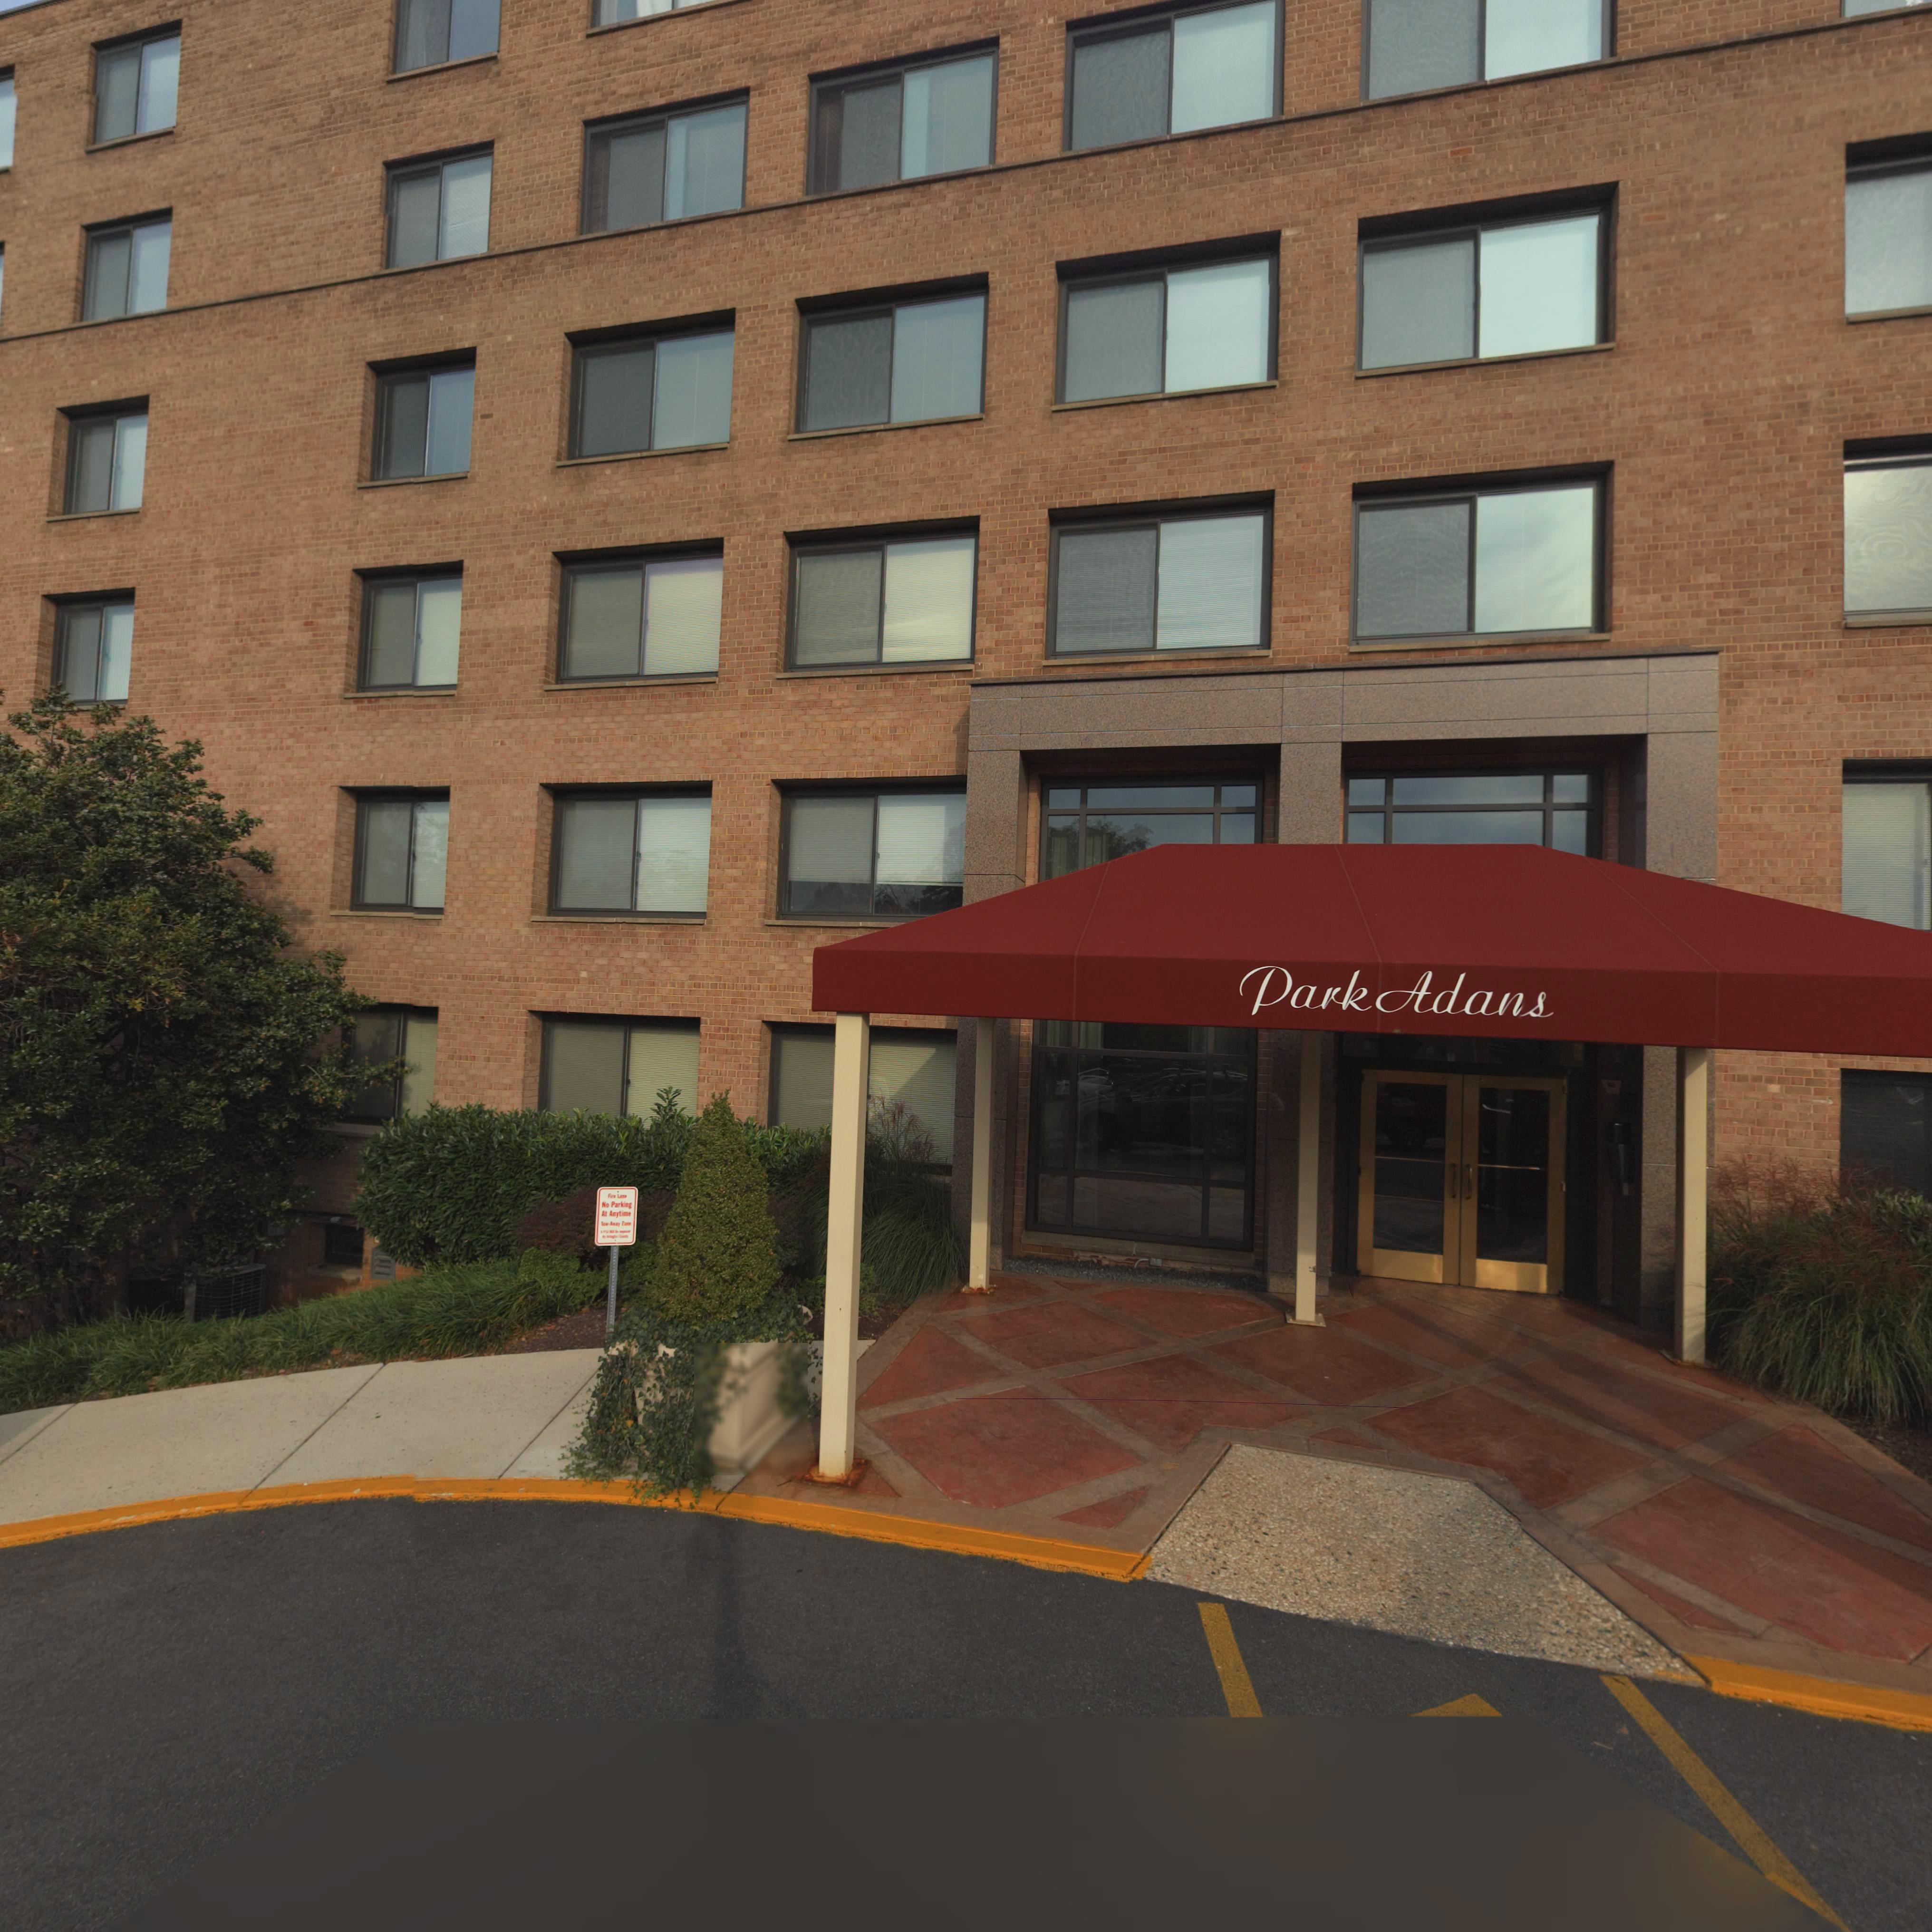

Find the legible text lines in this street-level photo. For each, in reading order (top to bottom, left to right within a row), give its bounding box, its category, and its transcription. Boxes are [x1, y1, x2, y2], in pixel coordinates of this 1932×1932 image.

[1243, 957, 1556, 1023] BusinessName: Park Adans
[607, 1192, 622, 1200] None: Fir* L
[600, 1200, 633, 1210] None: No Parking
[600, 1209, 632, 1219] None: At Anytime